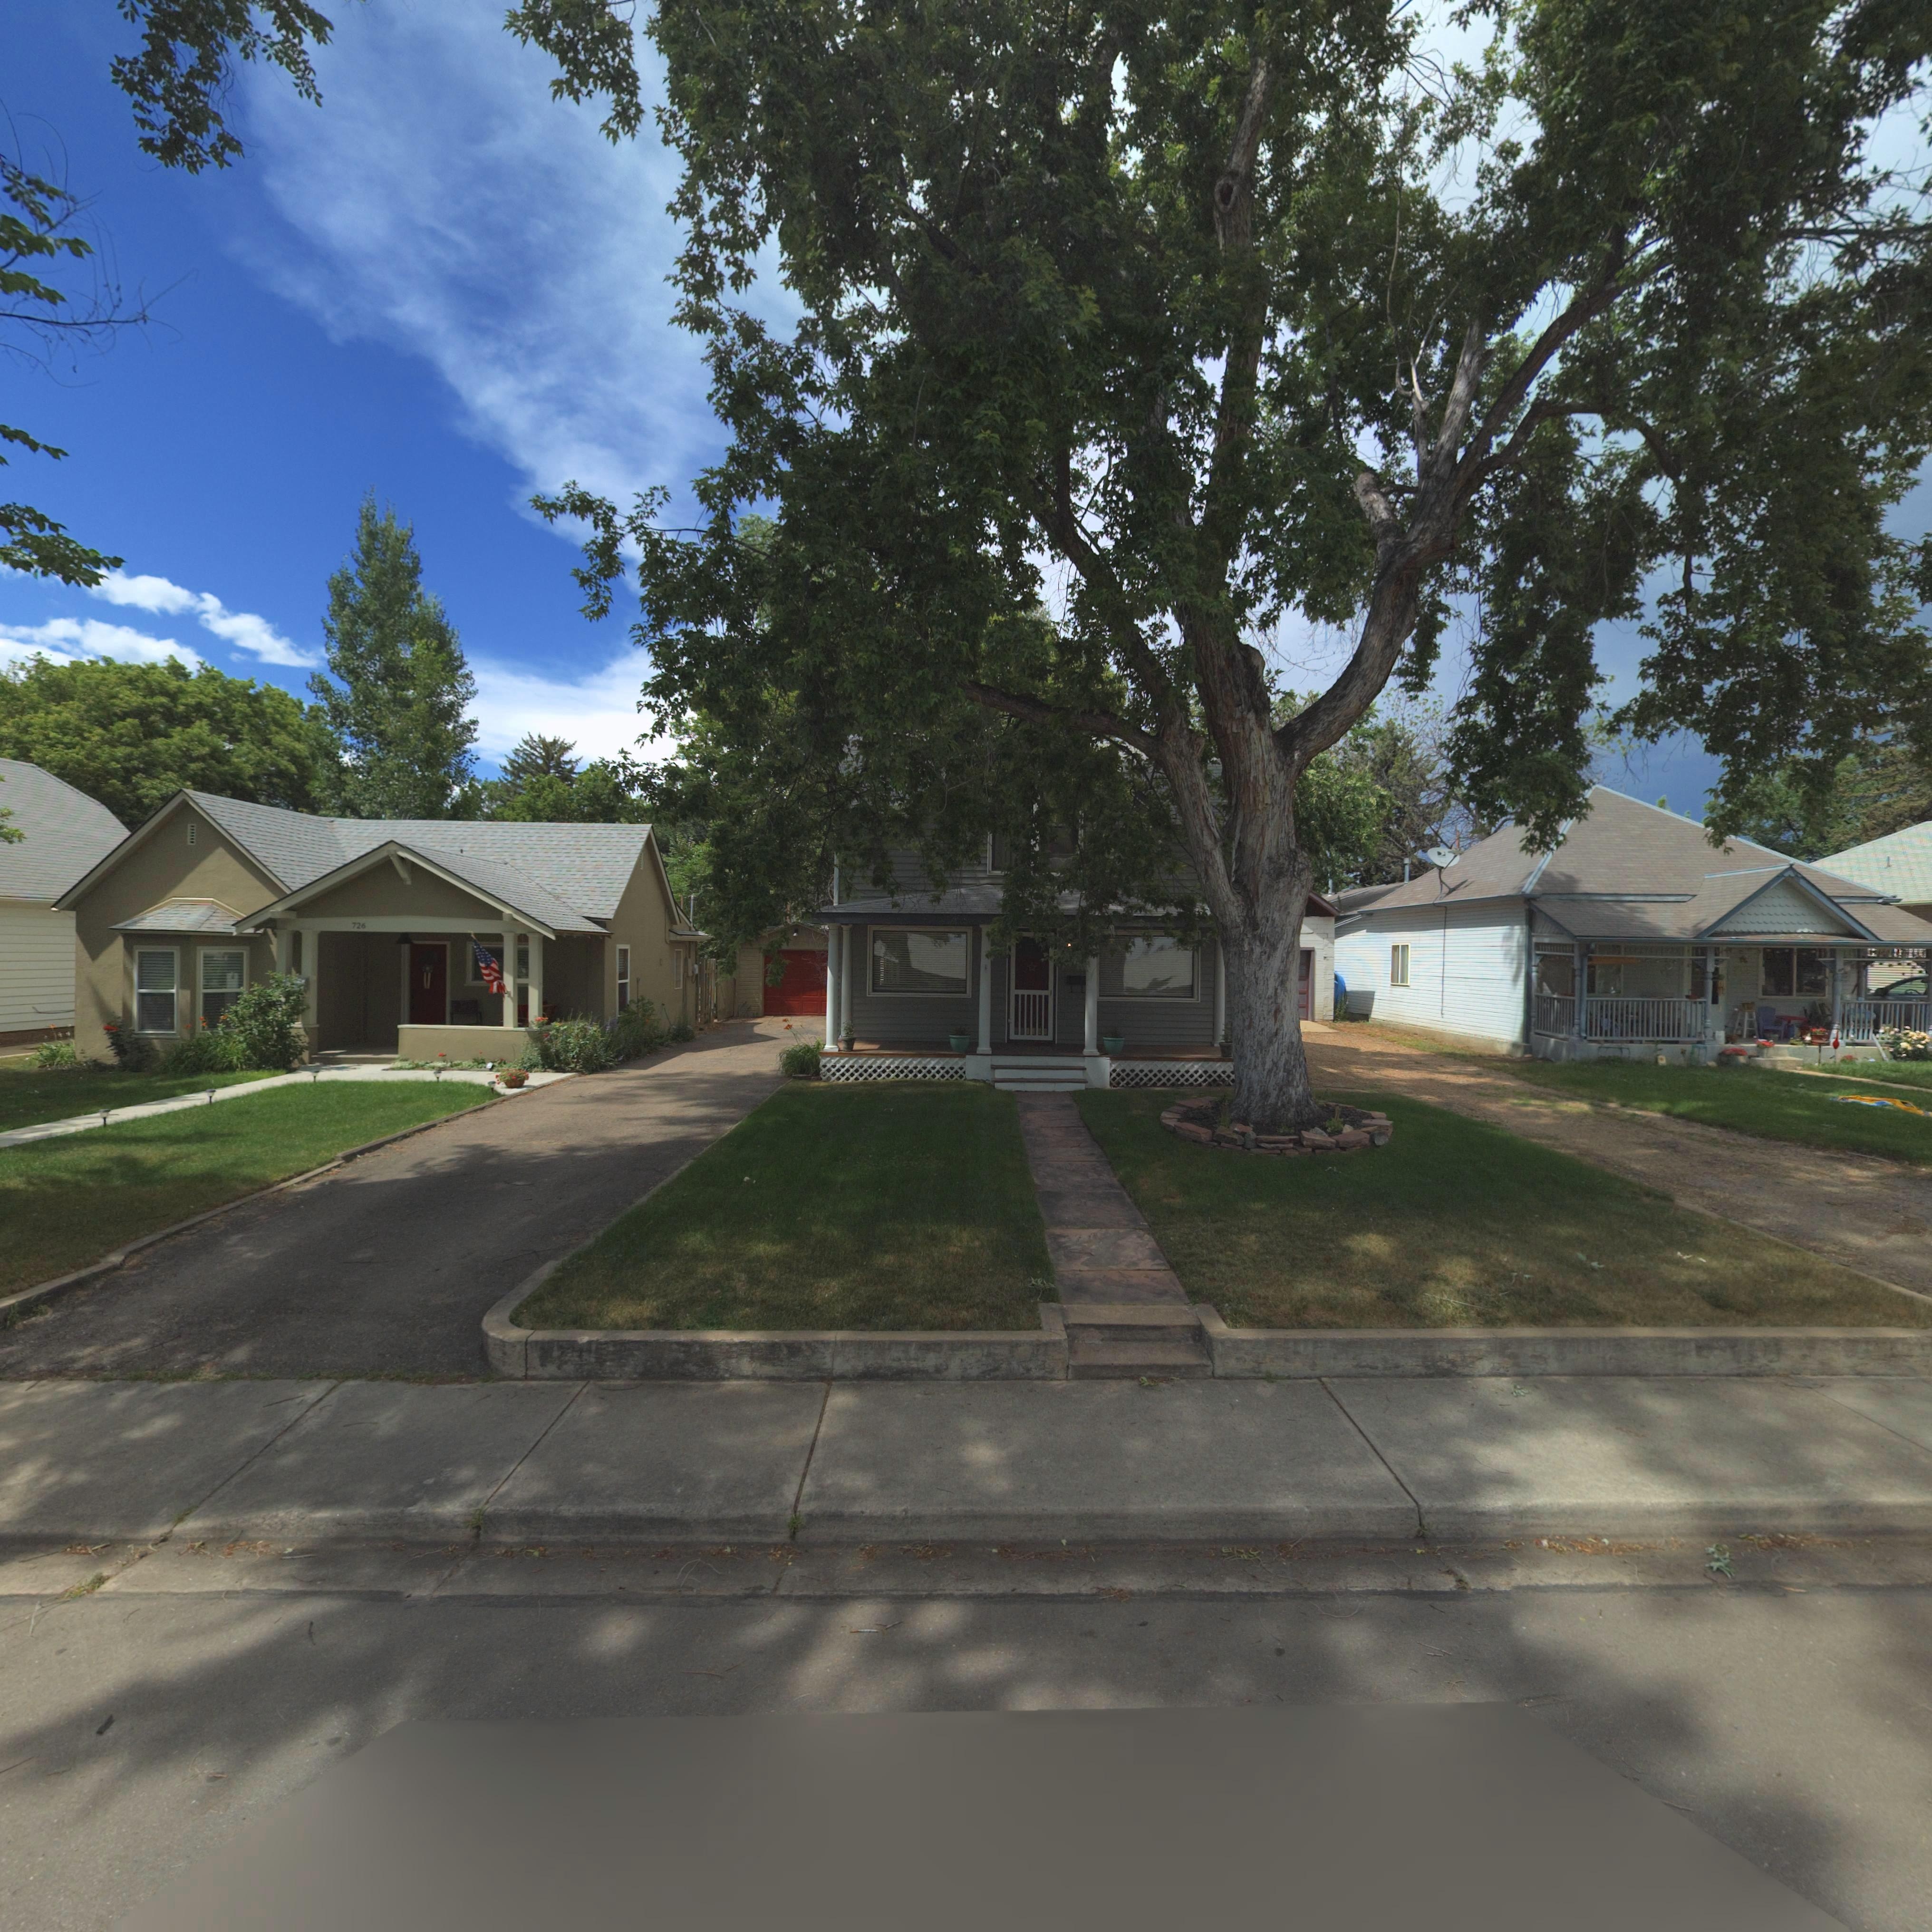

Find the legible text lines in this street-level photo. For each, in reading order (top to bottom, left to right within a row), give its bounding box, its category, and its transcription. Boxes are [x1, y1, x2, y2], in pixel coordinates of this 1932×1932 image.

[350, 921, 367, 930] StreetNumber: 726